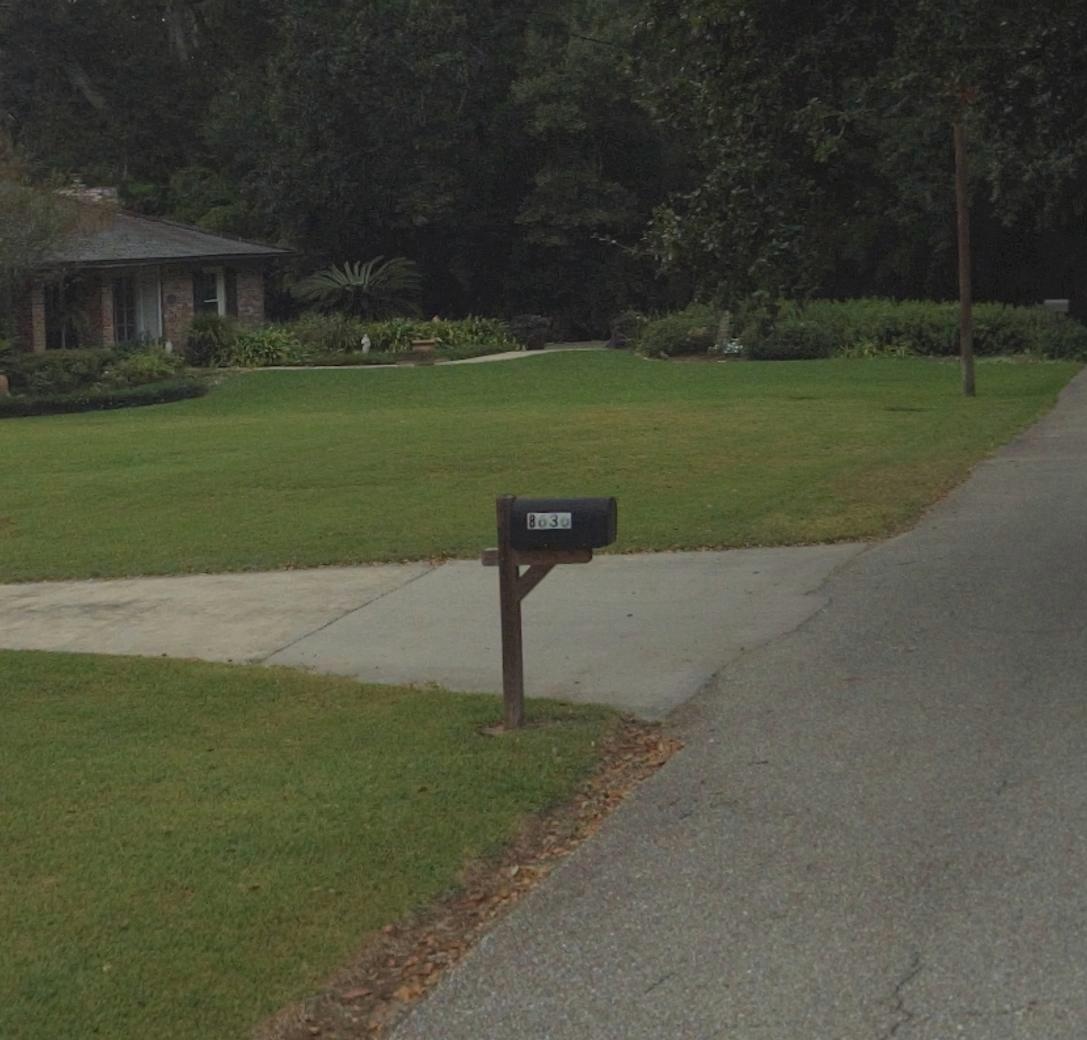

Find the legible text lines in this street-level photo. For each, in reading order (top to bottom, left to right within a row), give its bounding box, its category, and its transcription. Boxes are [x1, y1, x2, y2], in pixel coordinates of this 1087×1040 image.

[527, 513, 570, 529] StreetNumber: 8636